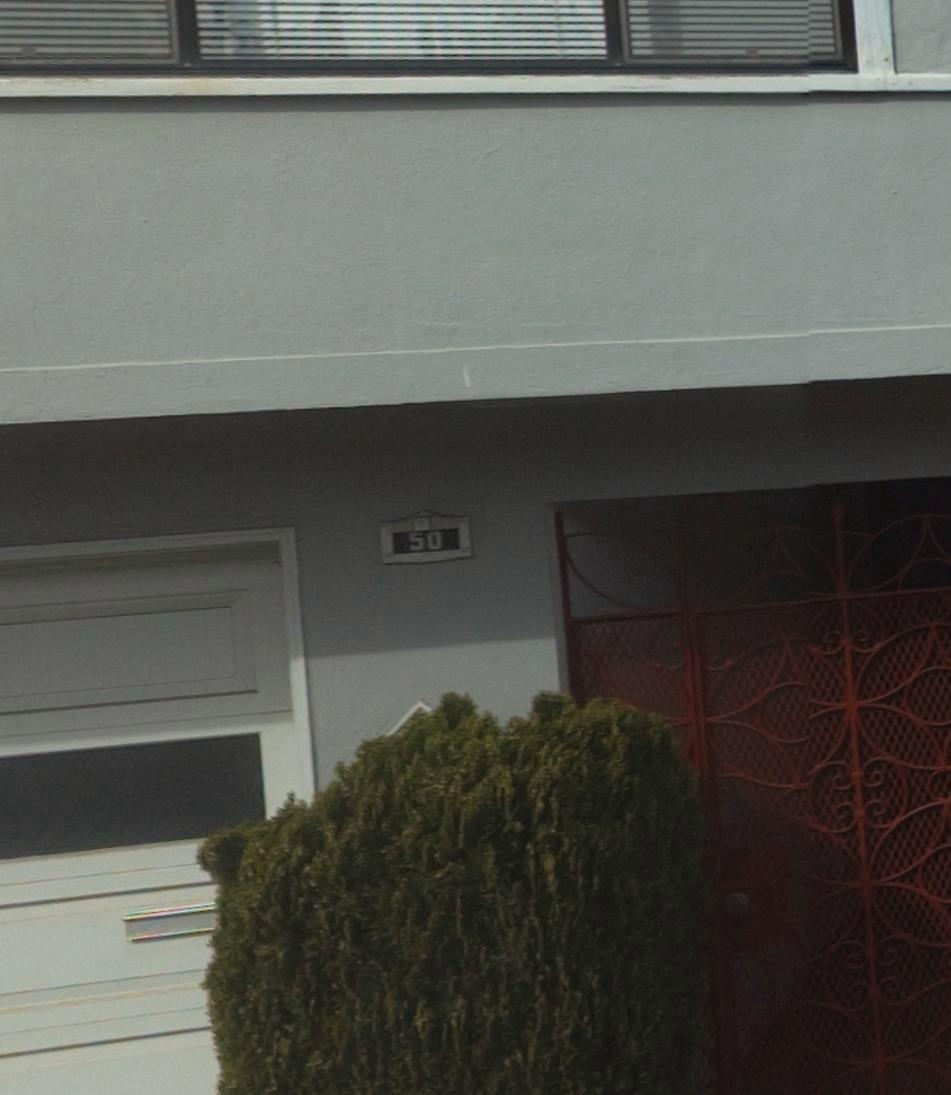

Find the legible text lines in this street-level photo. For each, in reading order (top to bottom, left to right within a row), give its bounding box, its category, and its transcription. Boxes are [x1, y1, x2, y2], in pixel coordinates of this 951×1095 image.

[406, 530, 444, 553] StreetNumber: 50